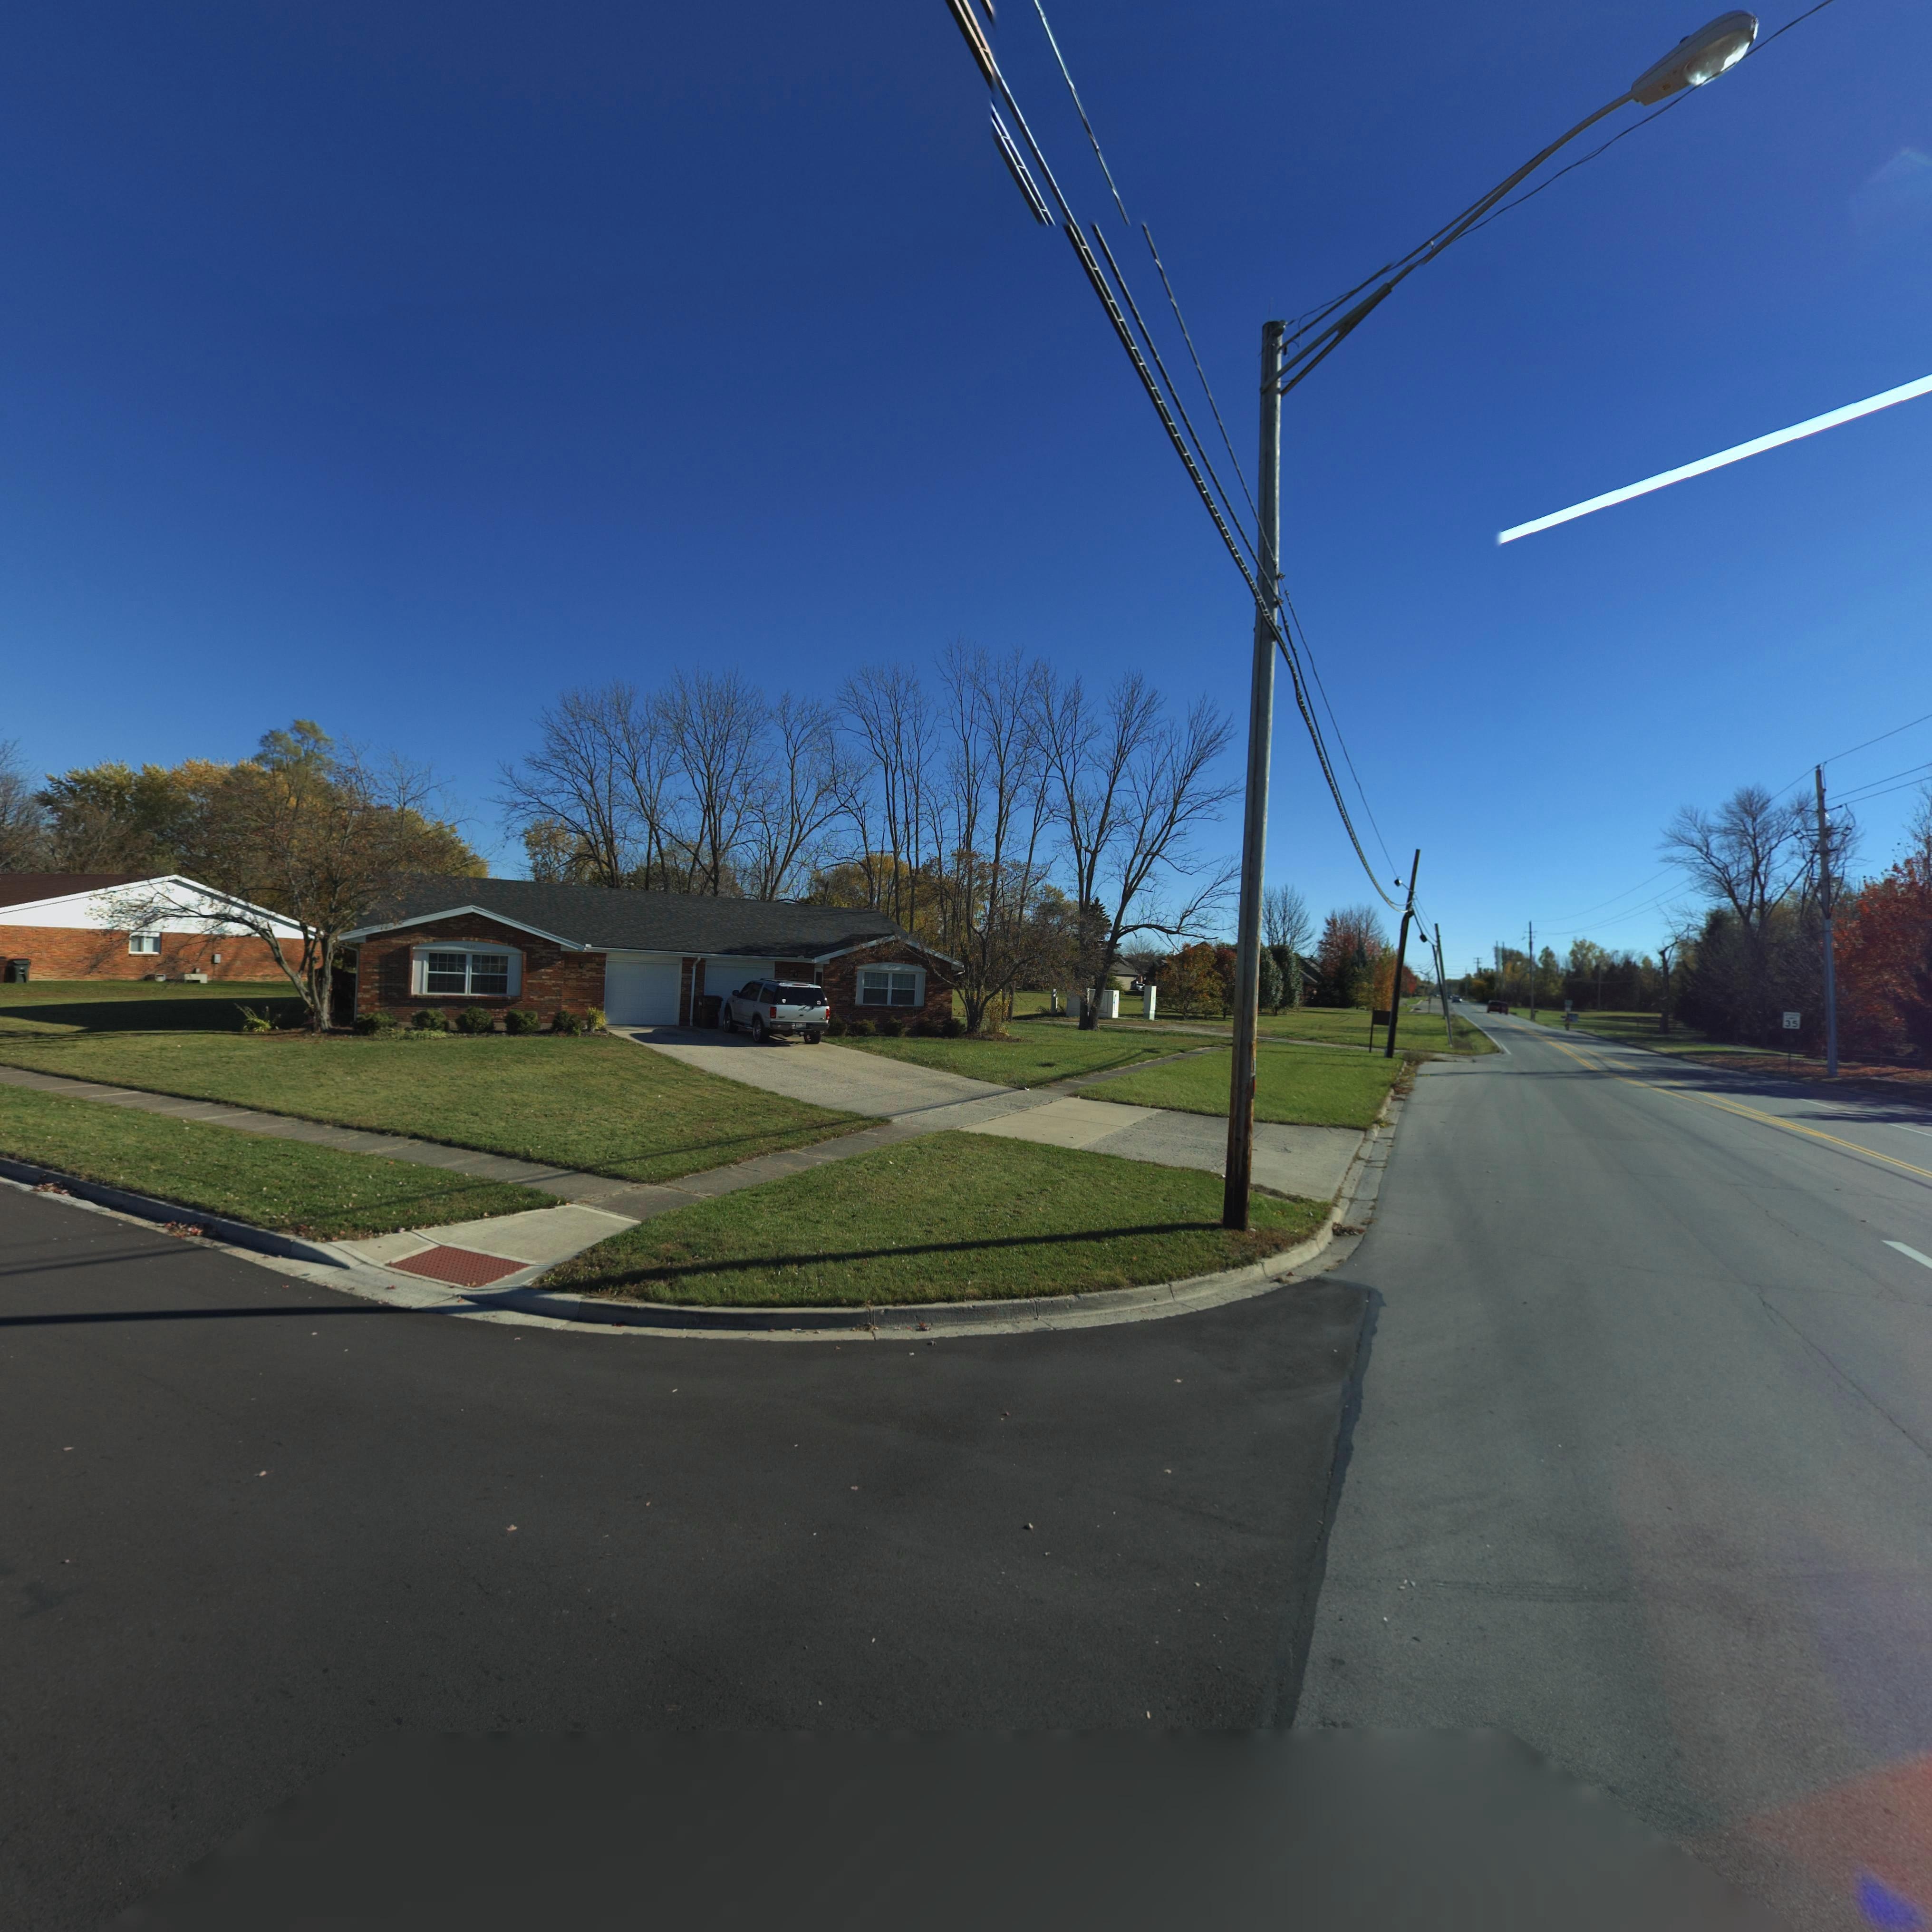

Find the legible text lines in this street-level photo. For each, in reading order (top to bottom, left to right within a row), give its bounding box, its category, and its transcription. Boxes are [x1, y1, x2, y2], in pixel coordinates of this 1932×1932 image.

[463, 945, 476, 949] StreetNumber: 1250